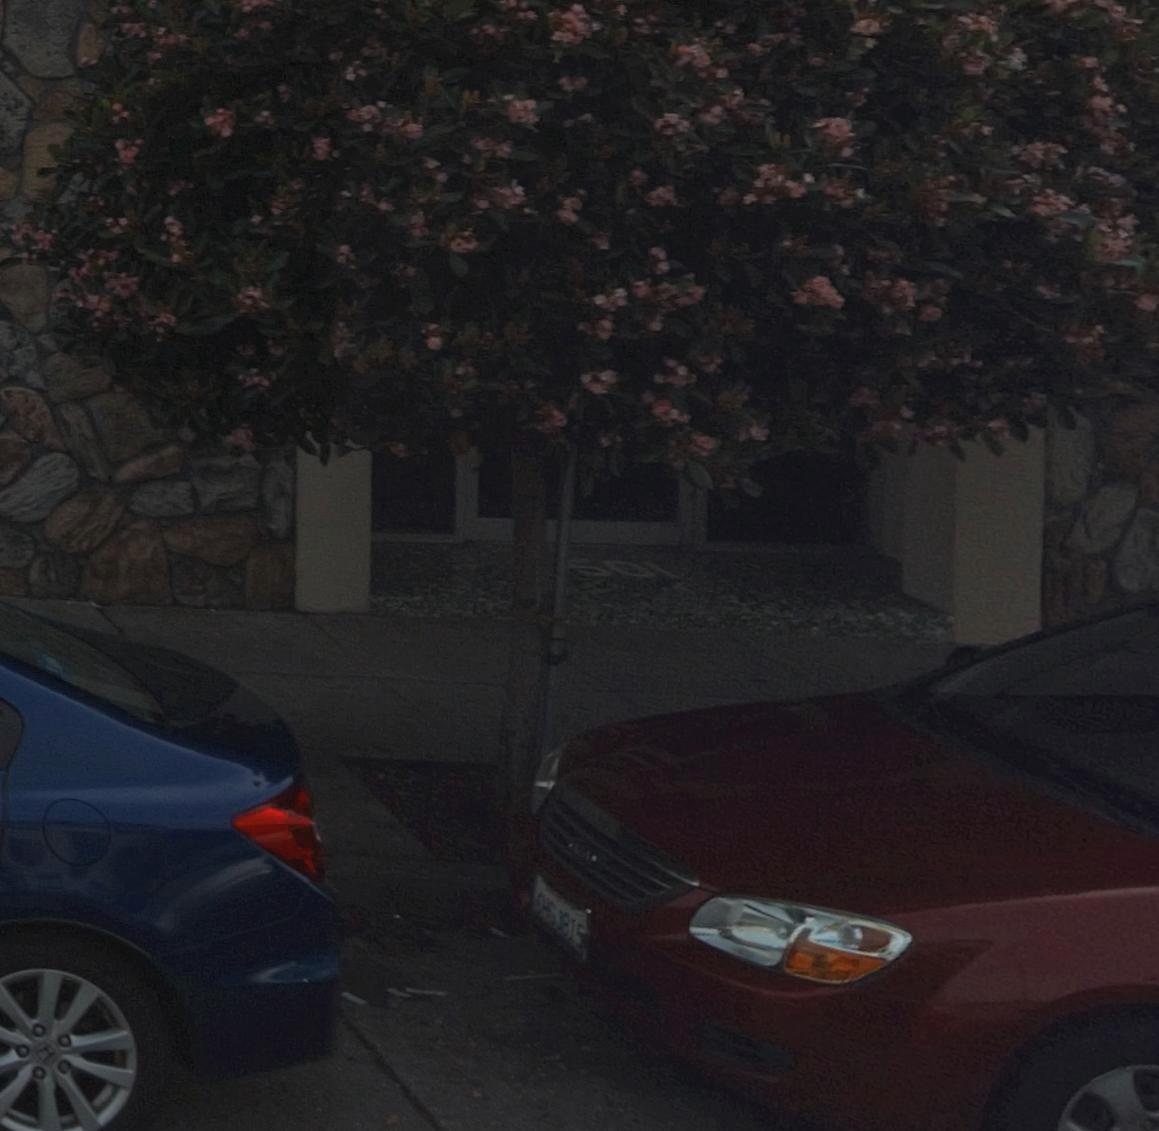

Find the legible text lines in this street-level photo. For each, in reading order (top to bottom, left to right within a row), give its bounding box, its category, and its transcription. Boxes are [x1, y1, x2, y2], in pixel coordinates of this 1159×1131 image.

[558, 556, 688, 581] StreetNumber: 501
[533, 889, 586, 951] None: 6HG*815